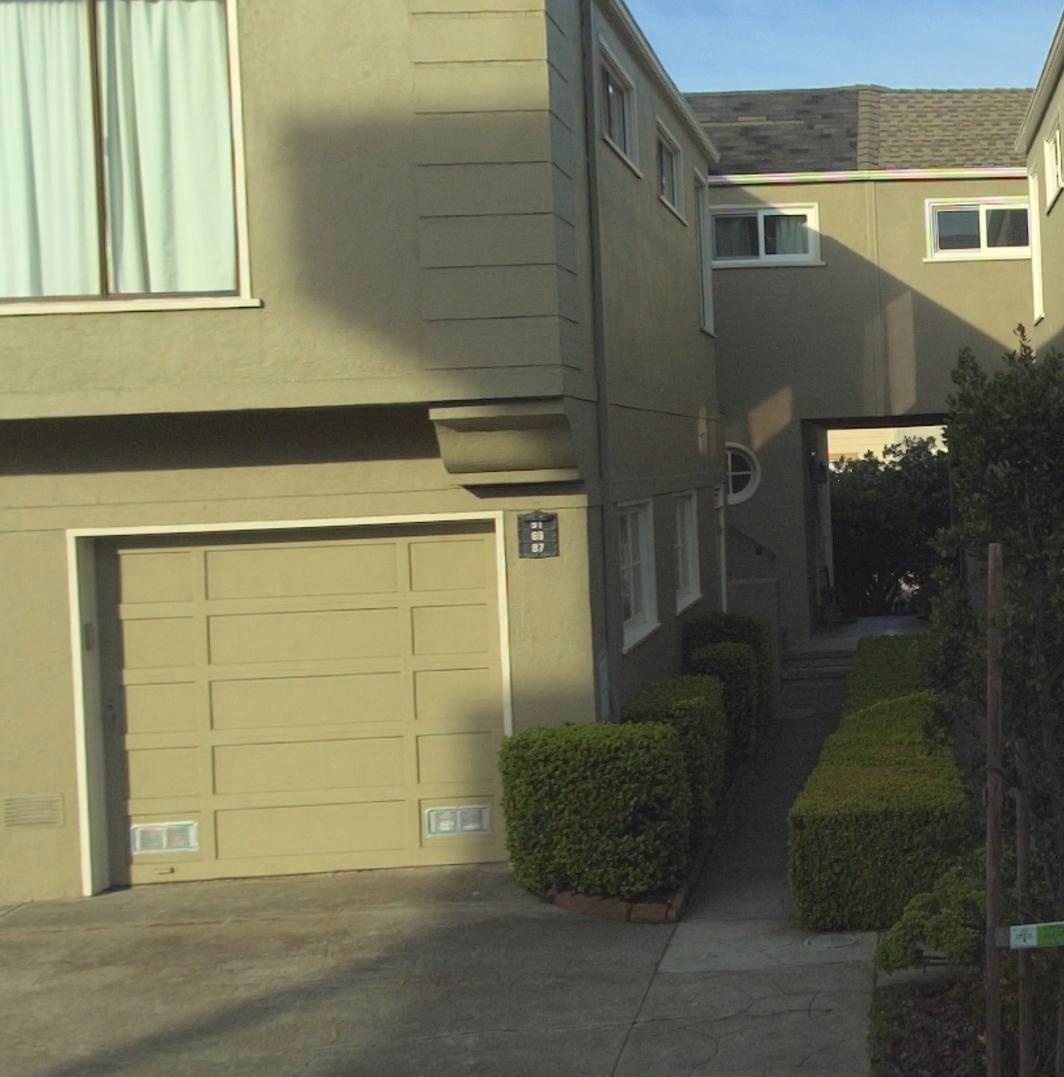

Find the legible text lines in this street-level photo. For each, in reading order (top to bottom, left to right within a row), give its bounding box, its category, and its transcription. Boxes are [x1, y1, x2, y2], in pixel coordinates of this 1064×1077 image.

[529, 541, 547, 554] StreetNumber: 87